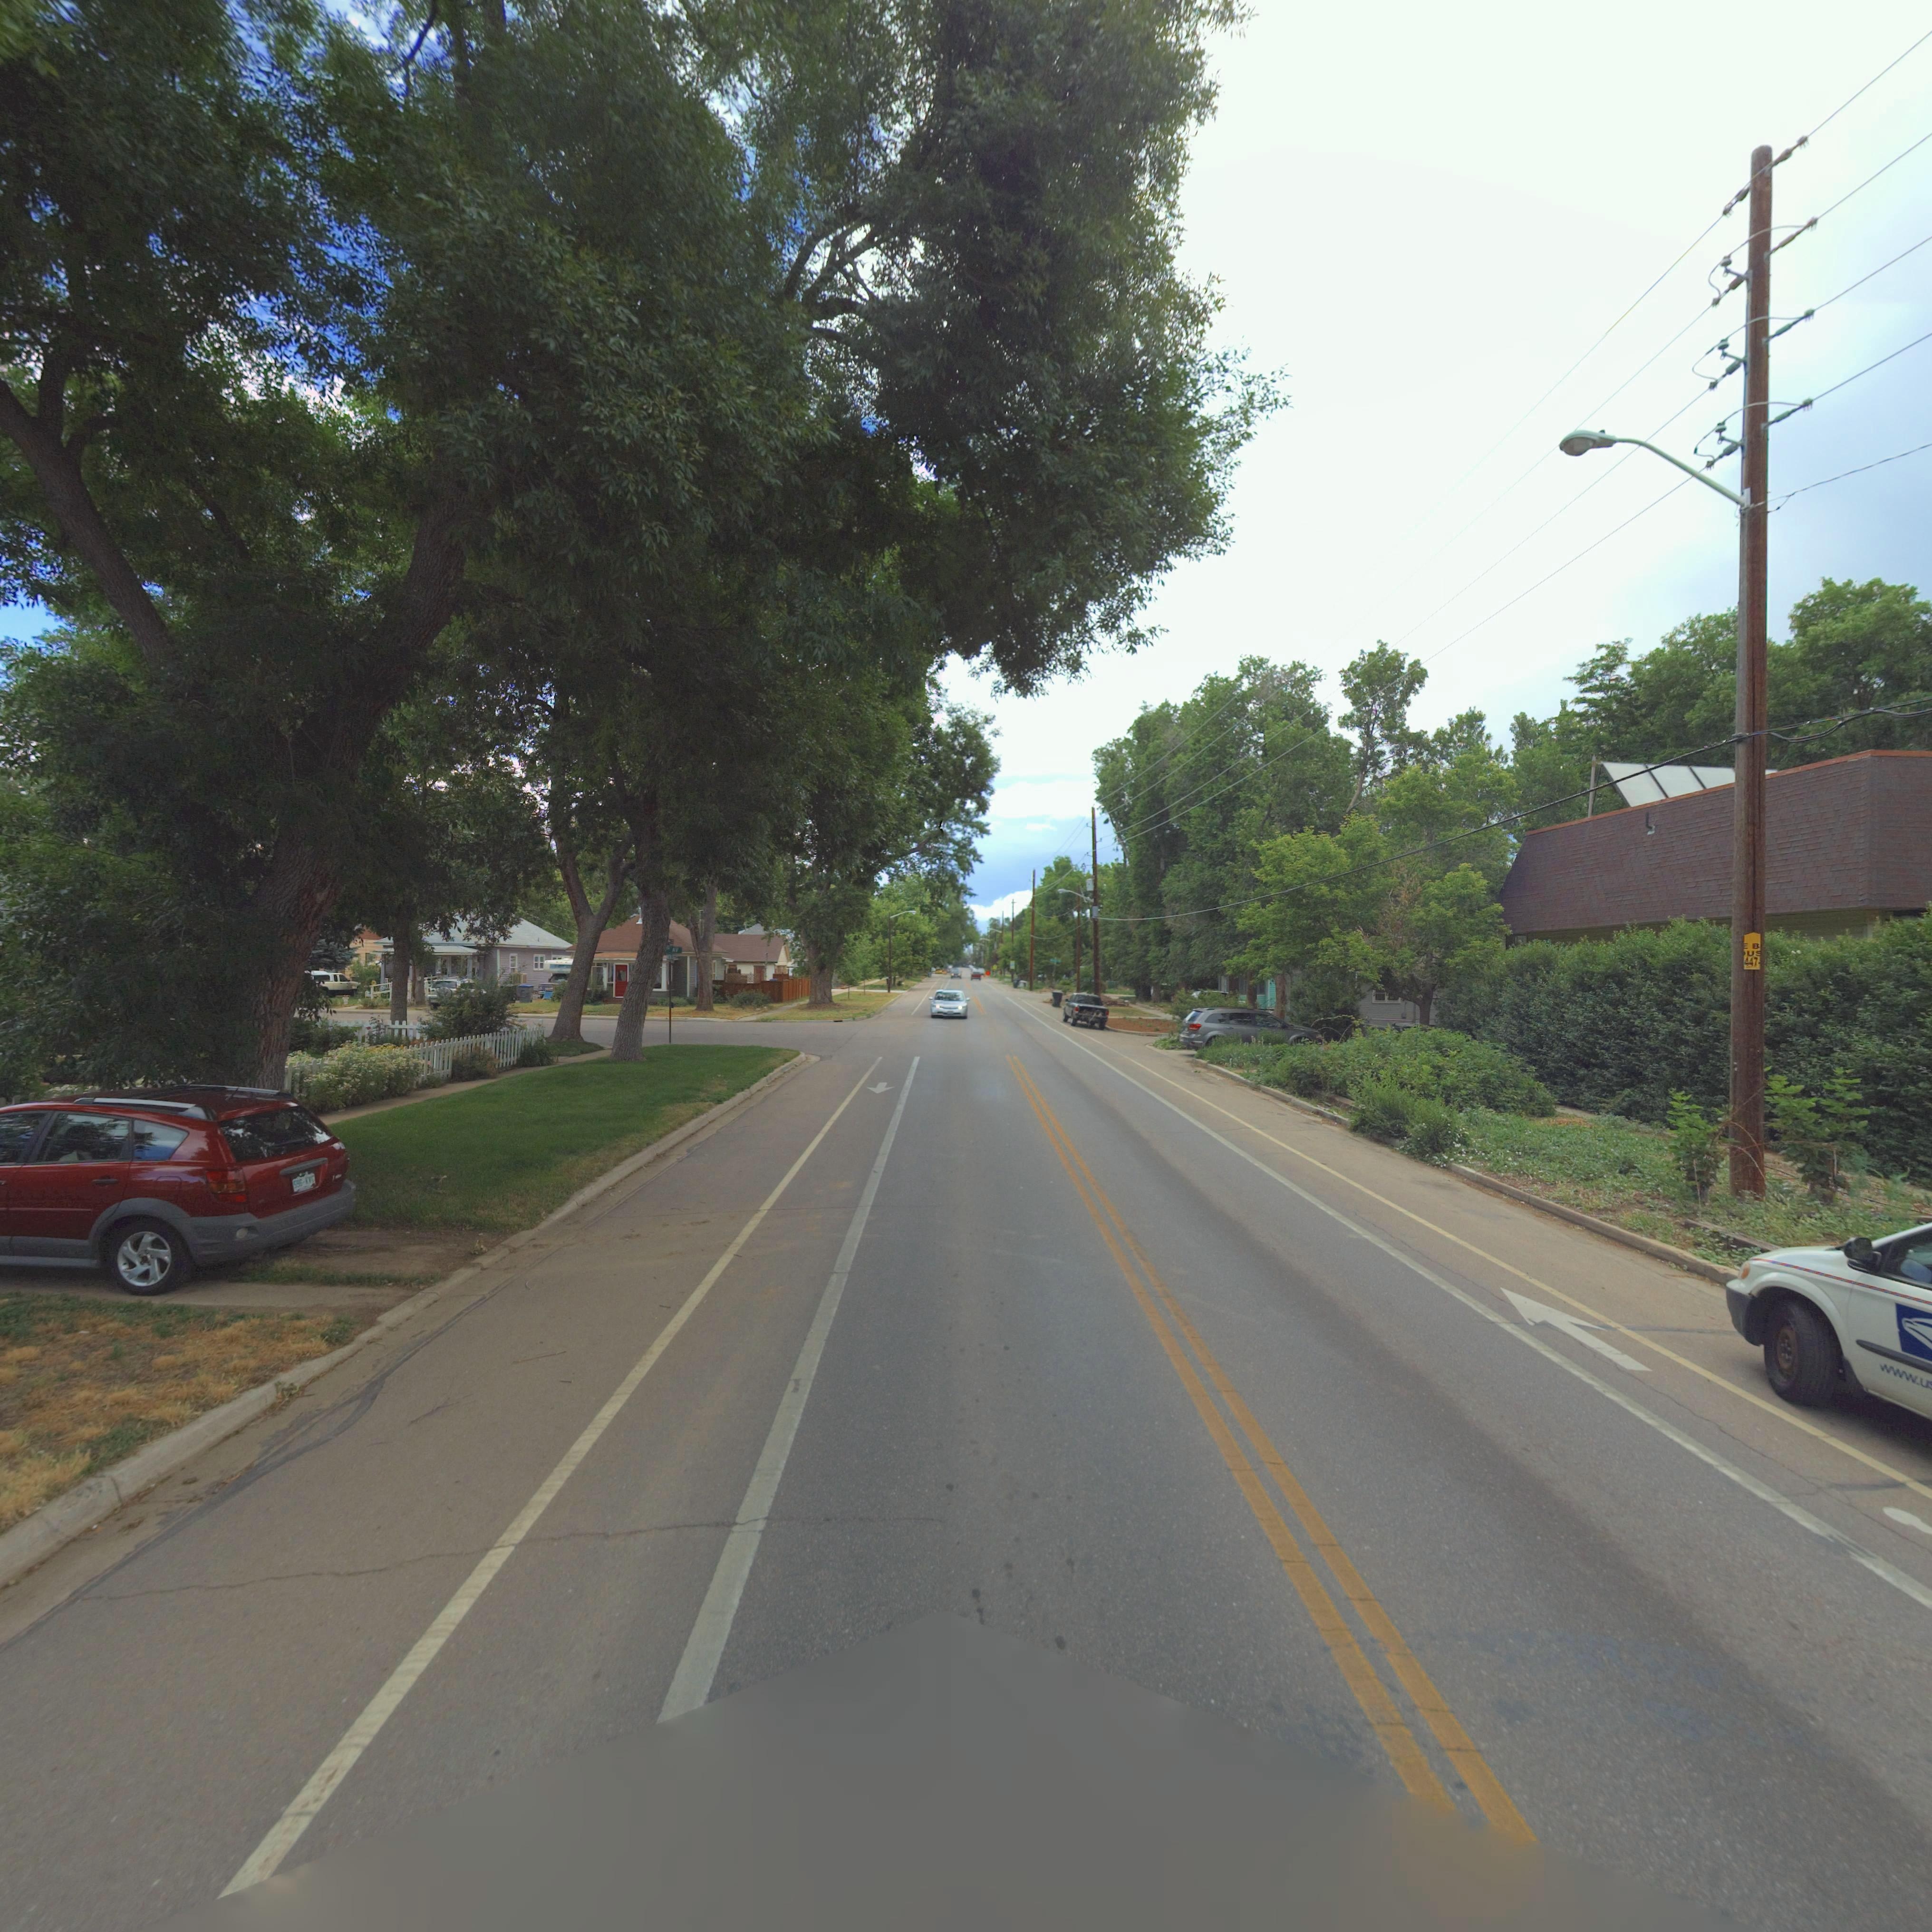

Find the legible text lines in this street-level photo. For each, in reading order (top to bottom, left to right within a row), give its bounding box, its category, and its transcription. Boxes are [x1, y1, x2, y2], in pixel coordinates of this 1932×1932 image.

[671, 947, 679, 952] StreetNumber: AV